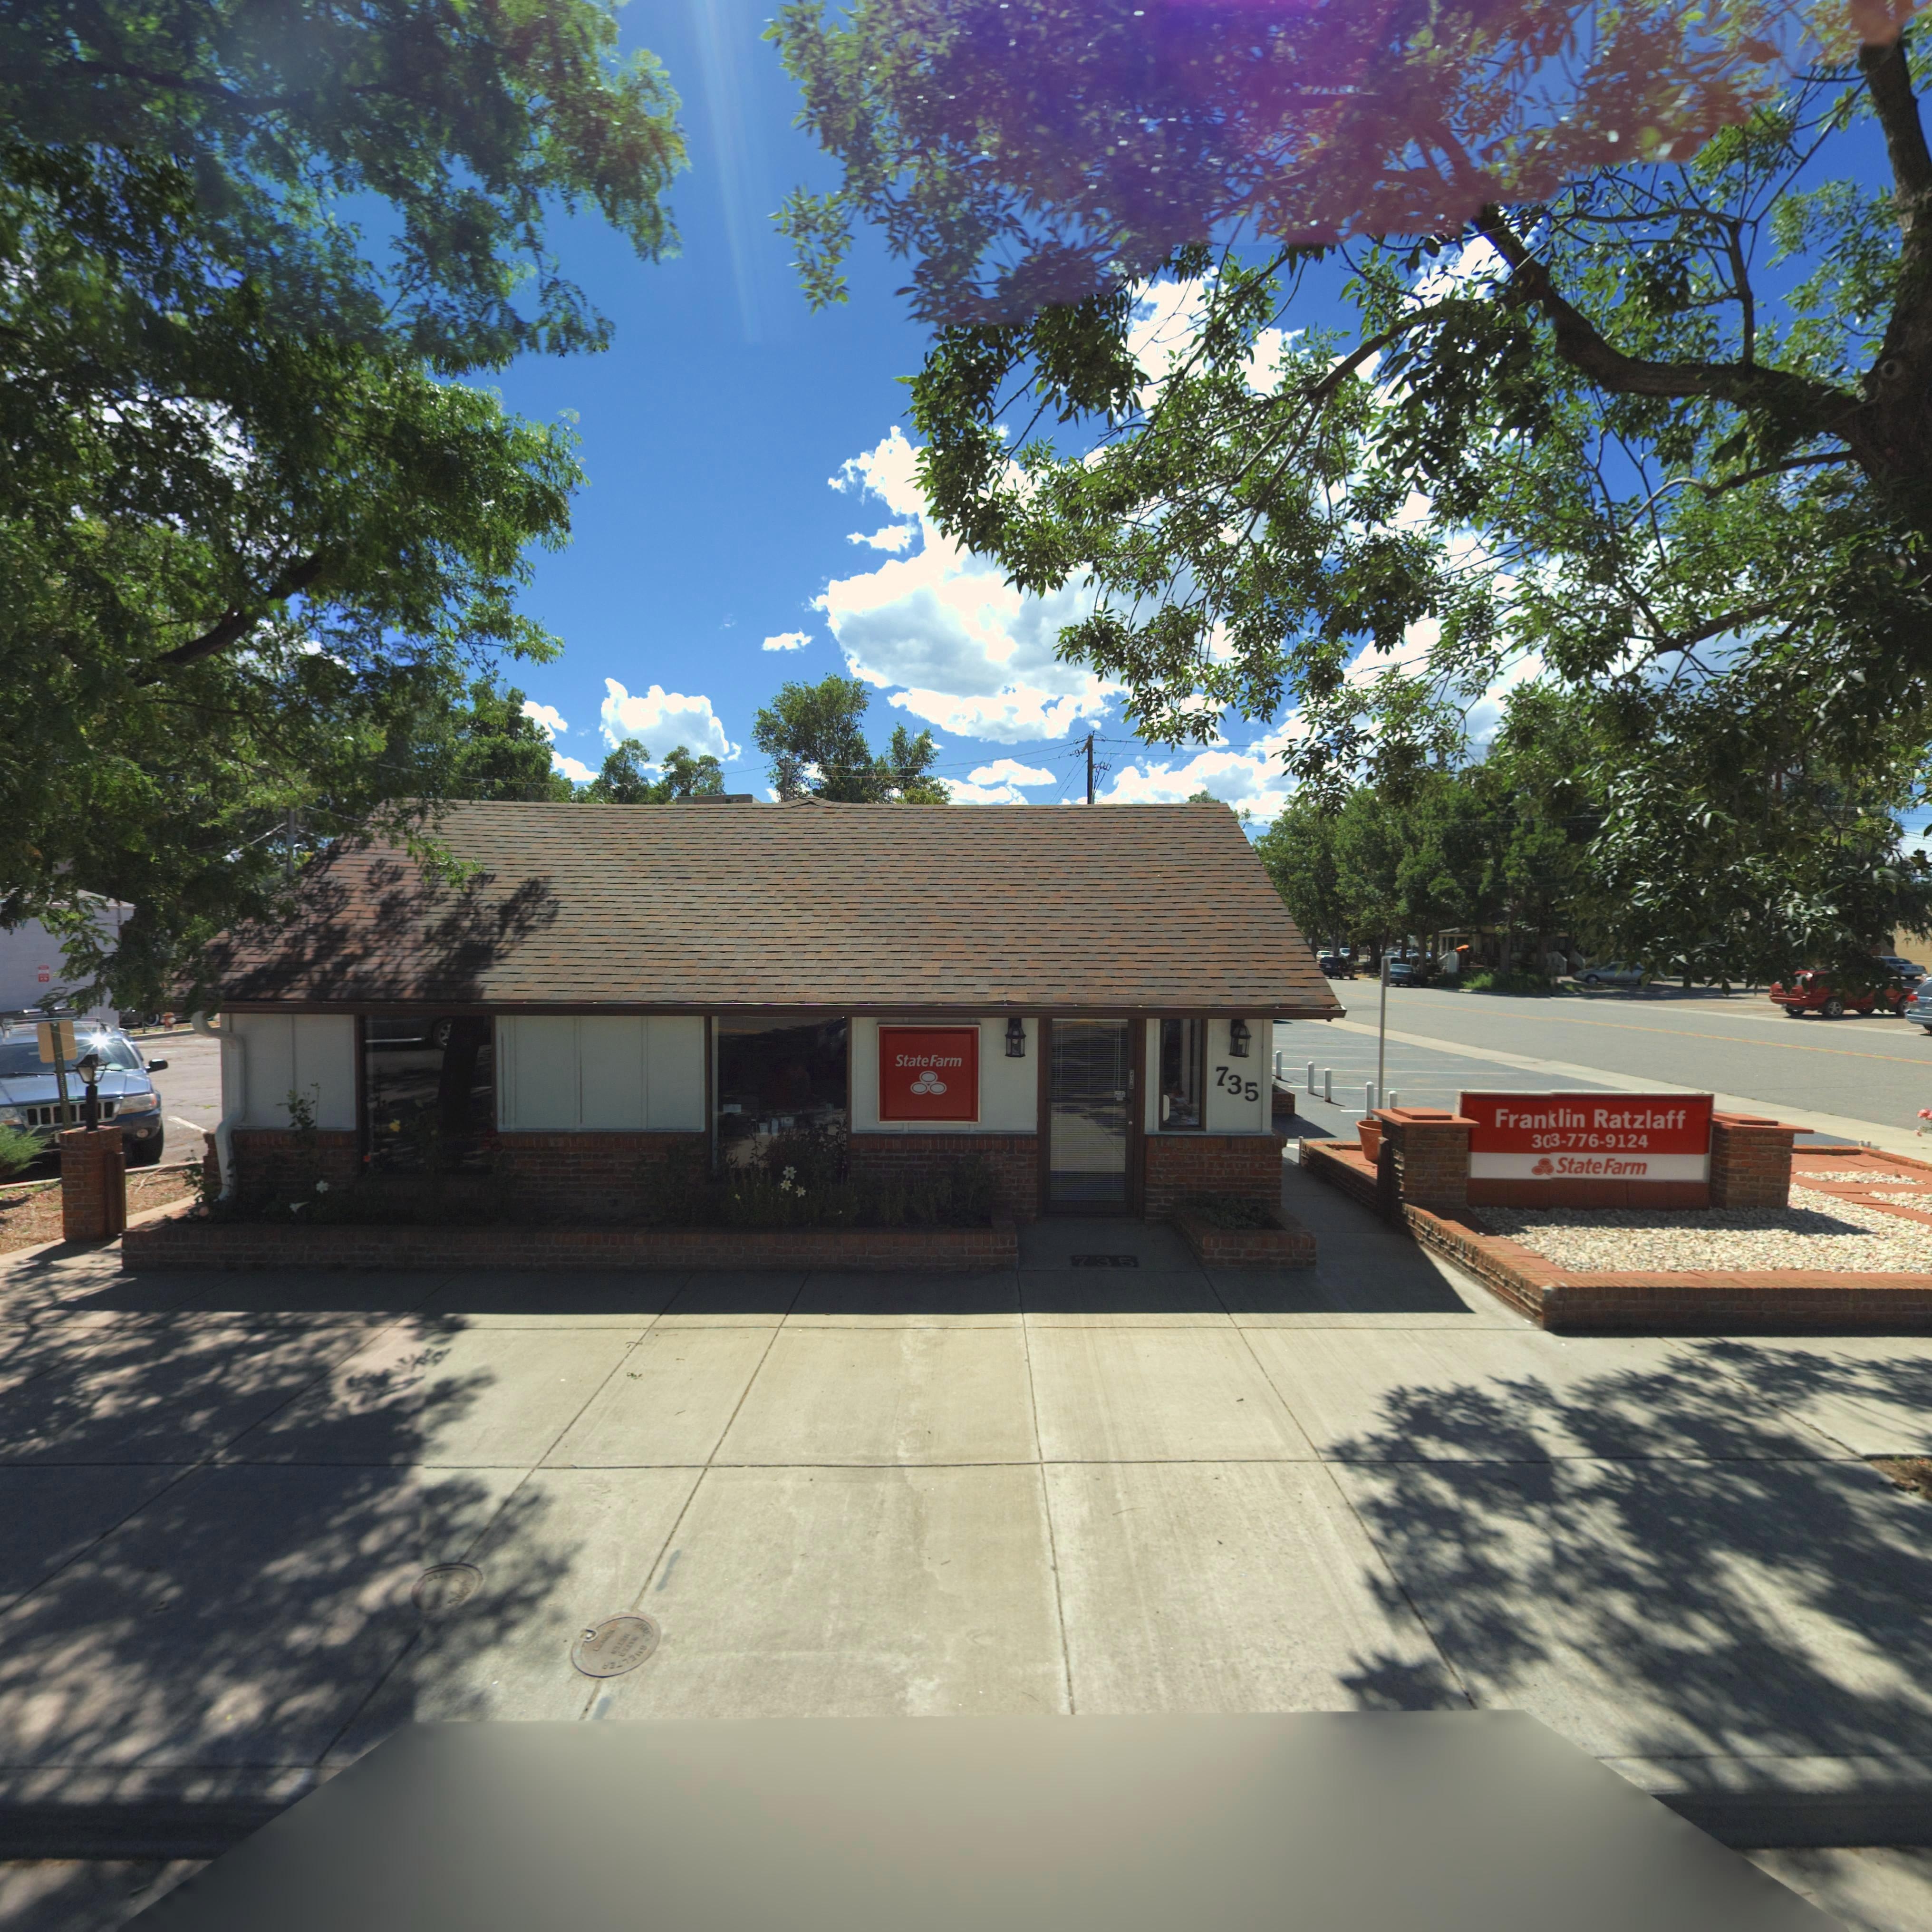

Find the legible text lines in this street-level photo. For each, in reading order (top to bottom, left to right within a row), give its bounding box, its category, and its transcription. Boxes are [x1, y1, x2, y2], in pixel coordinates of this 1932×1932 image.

[895, 1053, 962, 1067] BusinessName: State Farm
[1215, 1065, 1259, 1103] StreetNumber: 735
[1555, 1156, 1648, 1175] BusinessName: State Farm
[1074, 1255, 1135, 1267] StreetNumber: 735